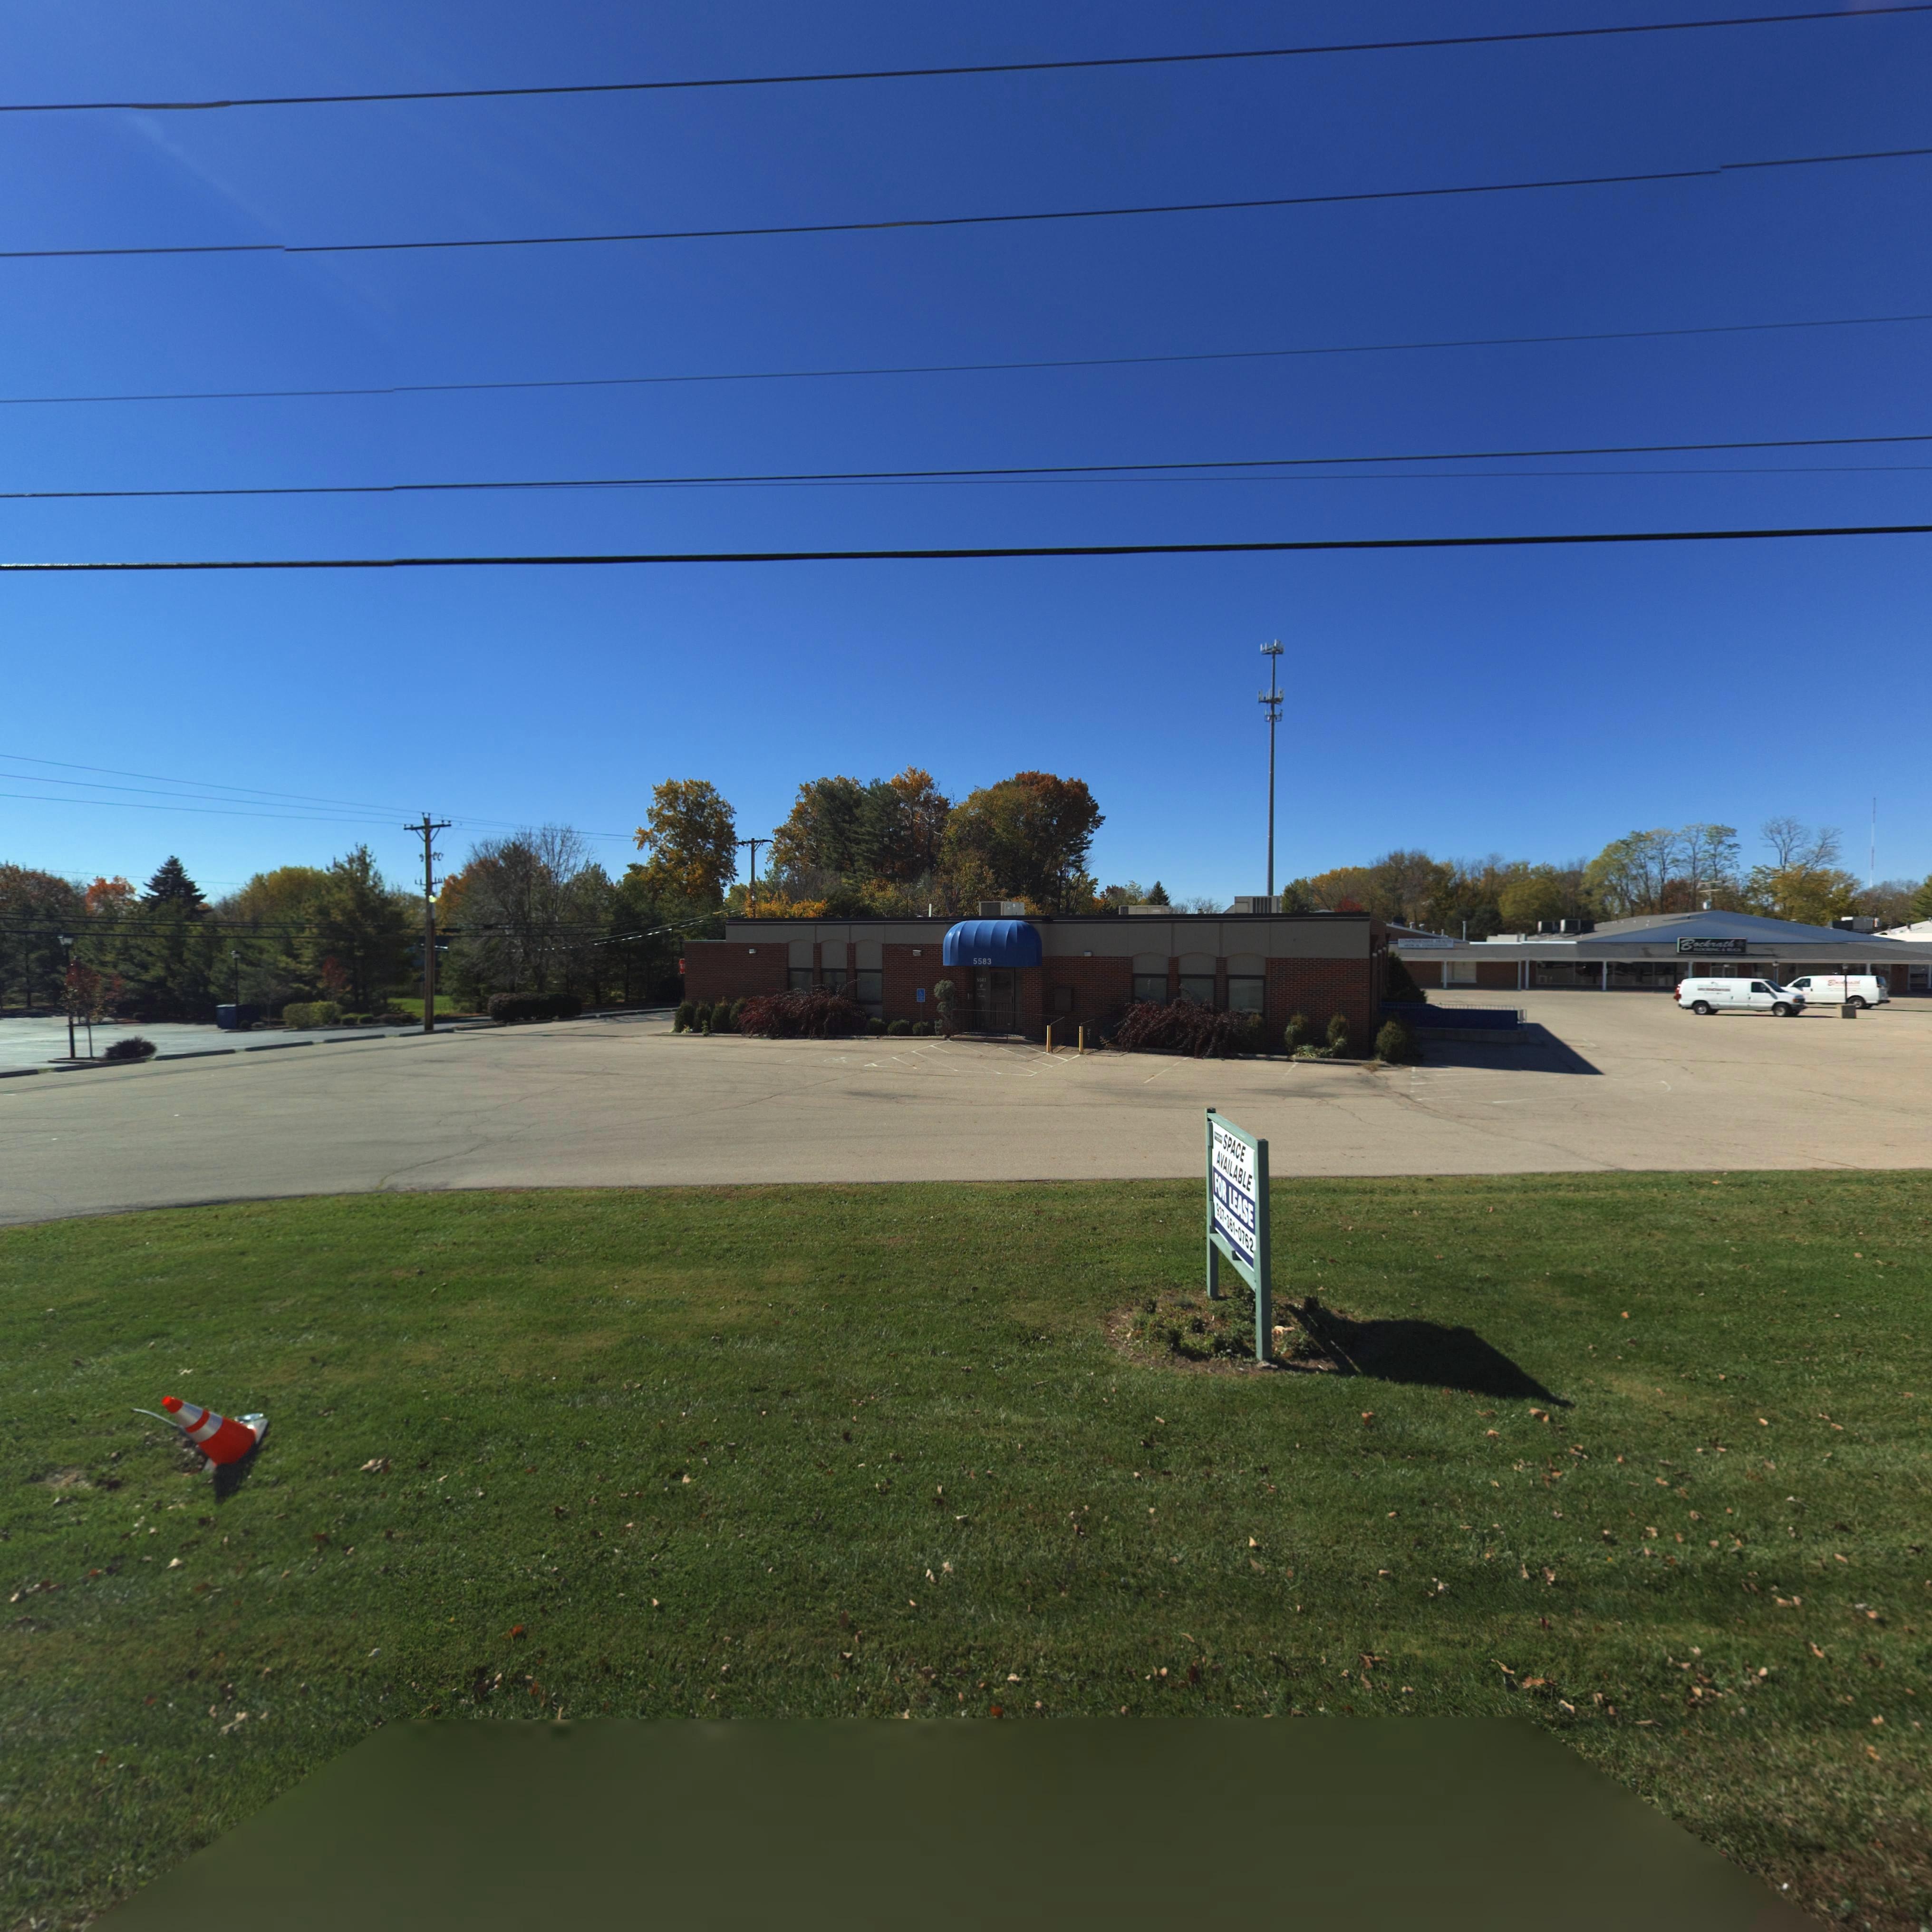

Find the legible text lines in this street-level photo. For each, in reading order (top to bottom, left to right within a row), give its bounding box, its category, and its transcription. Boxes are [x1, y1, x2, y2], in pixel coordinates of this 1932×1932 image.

[973, 957, 992, 966] StreetNumber: 5583
[1680, 938, 1736, 951] BusinessName: Bockrath
[1726, 947, 1743, 953] BusinessName: RUGS
[976, 977, 987, 983] StreetNumber: 55**
[1222, 1133, 1247, 1164] None: SPACE
[1216, 1150, 1254, 1193] None: AVAILABLE
[1214, 1171, 1255, 1231] None: FOR LEASE
[1216, 1201, 1254, 1255] None: 937-361-0762